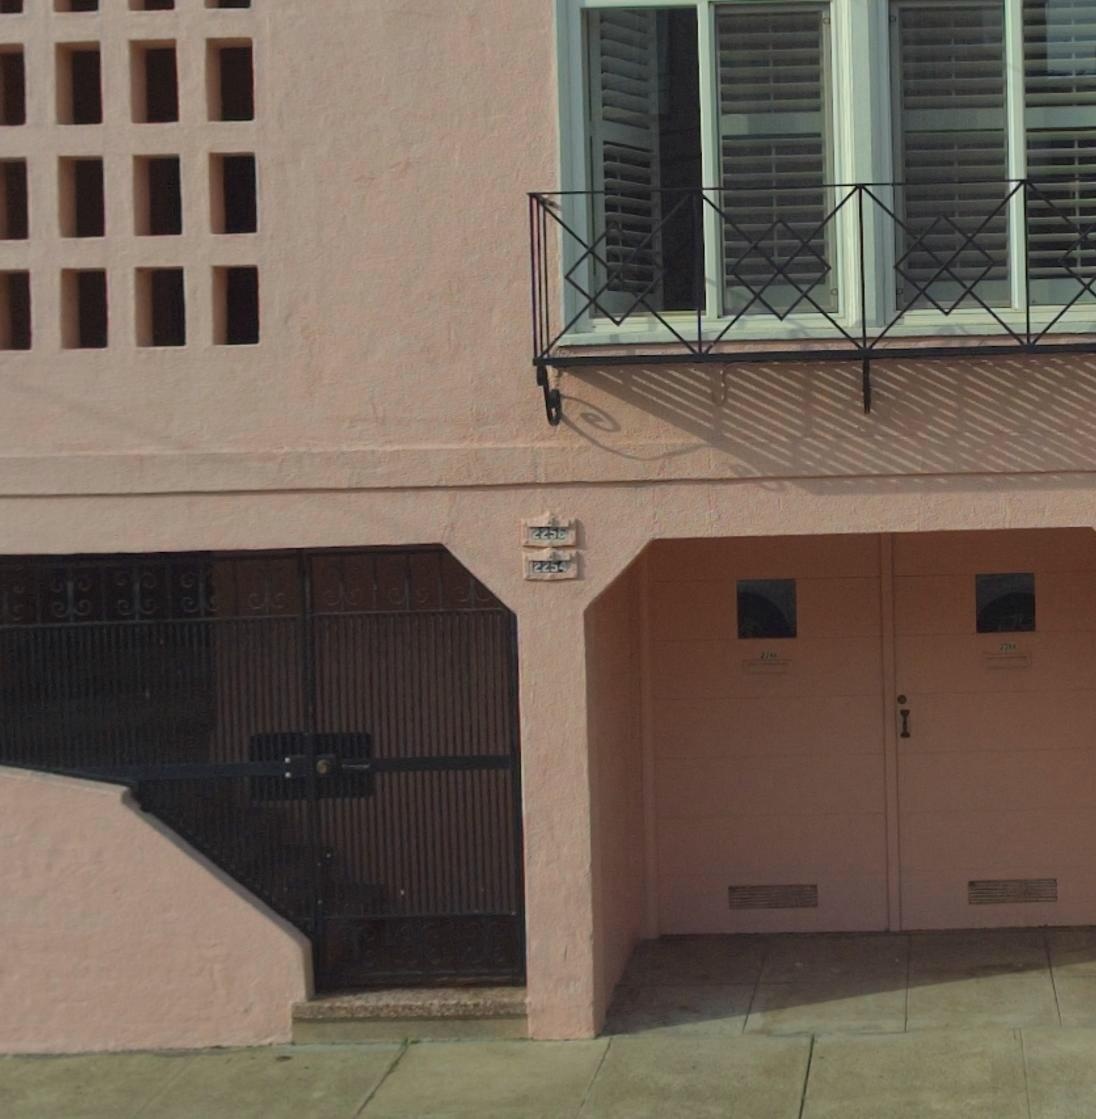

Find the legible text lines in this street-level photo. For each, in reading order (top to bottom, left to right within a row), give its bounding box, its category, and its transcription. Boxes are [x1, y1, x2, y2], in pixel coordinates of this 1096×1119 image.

[530, 524, 568, 542] StreetNumber: 2256
[531, 559, 569, 574] StreetNumber: 2254